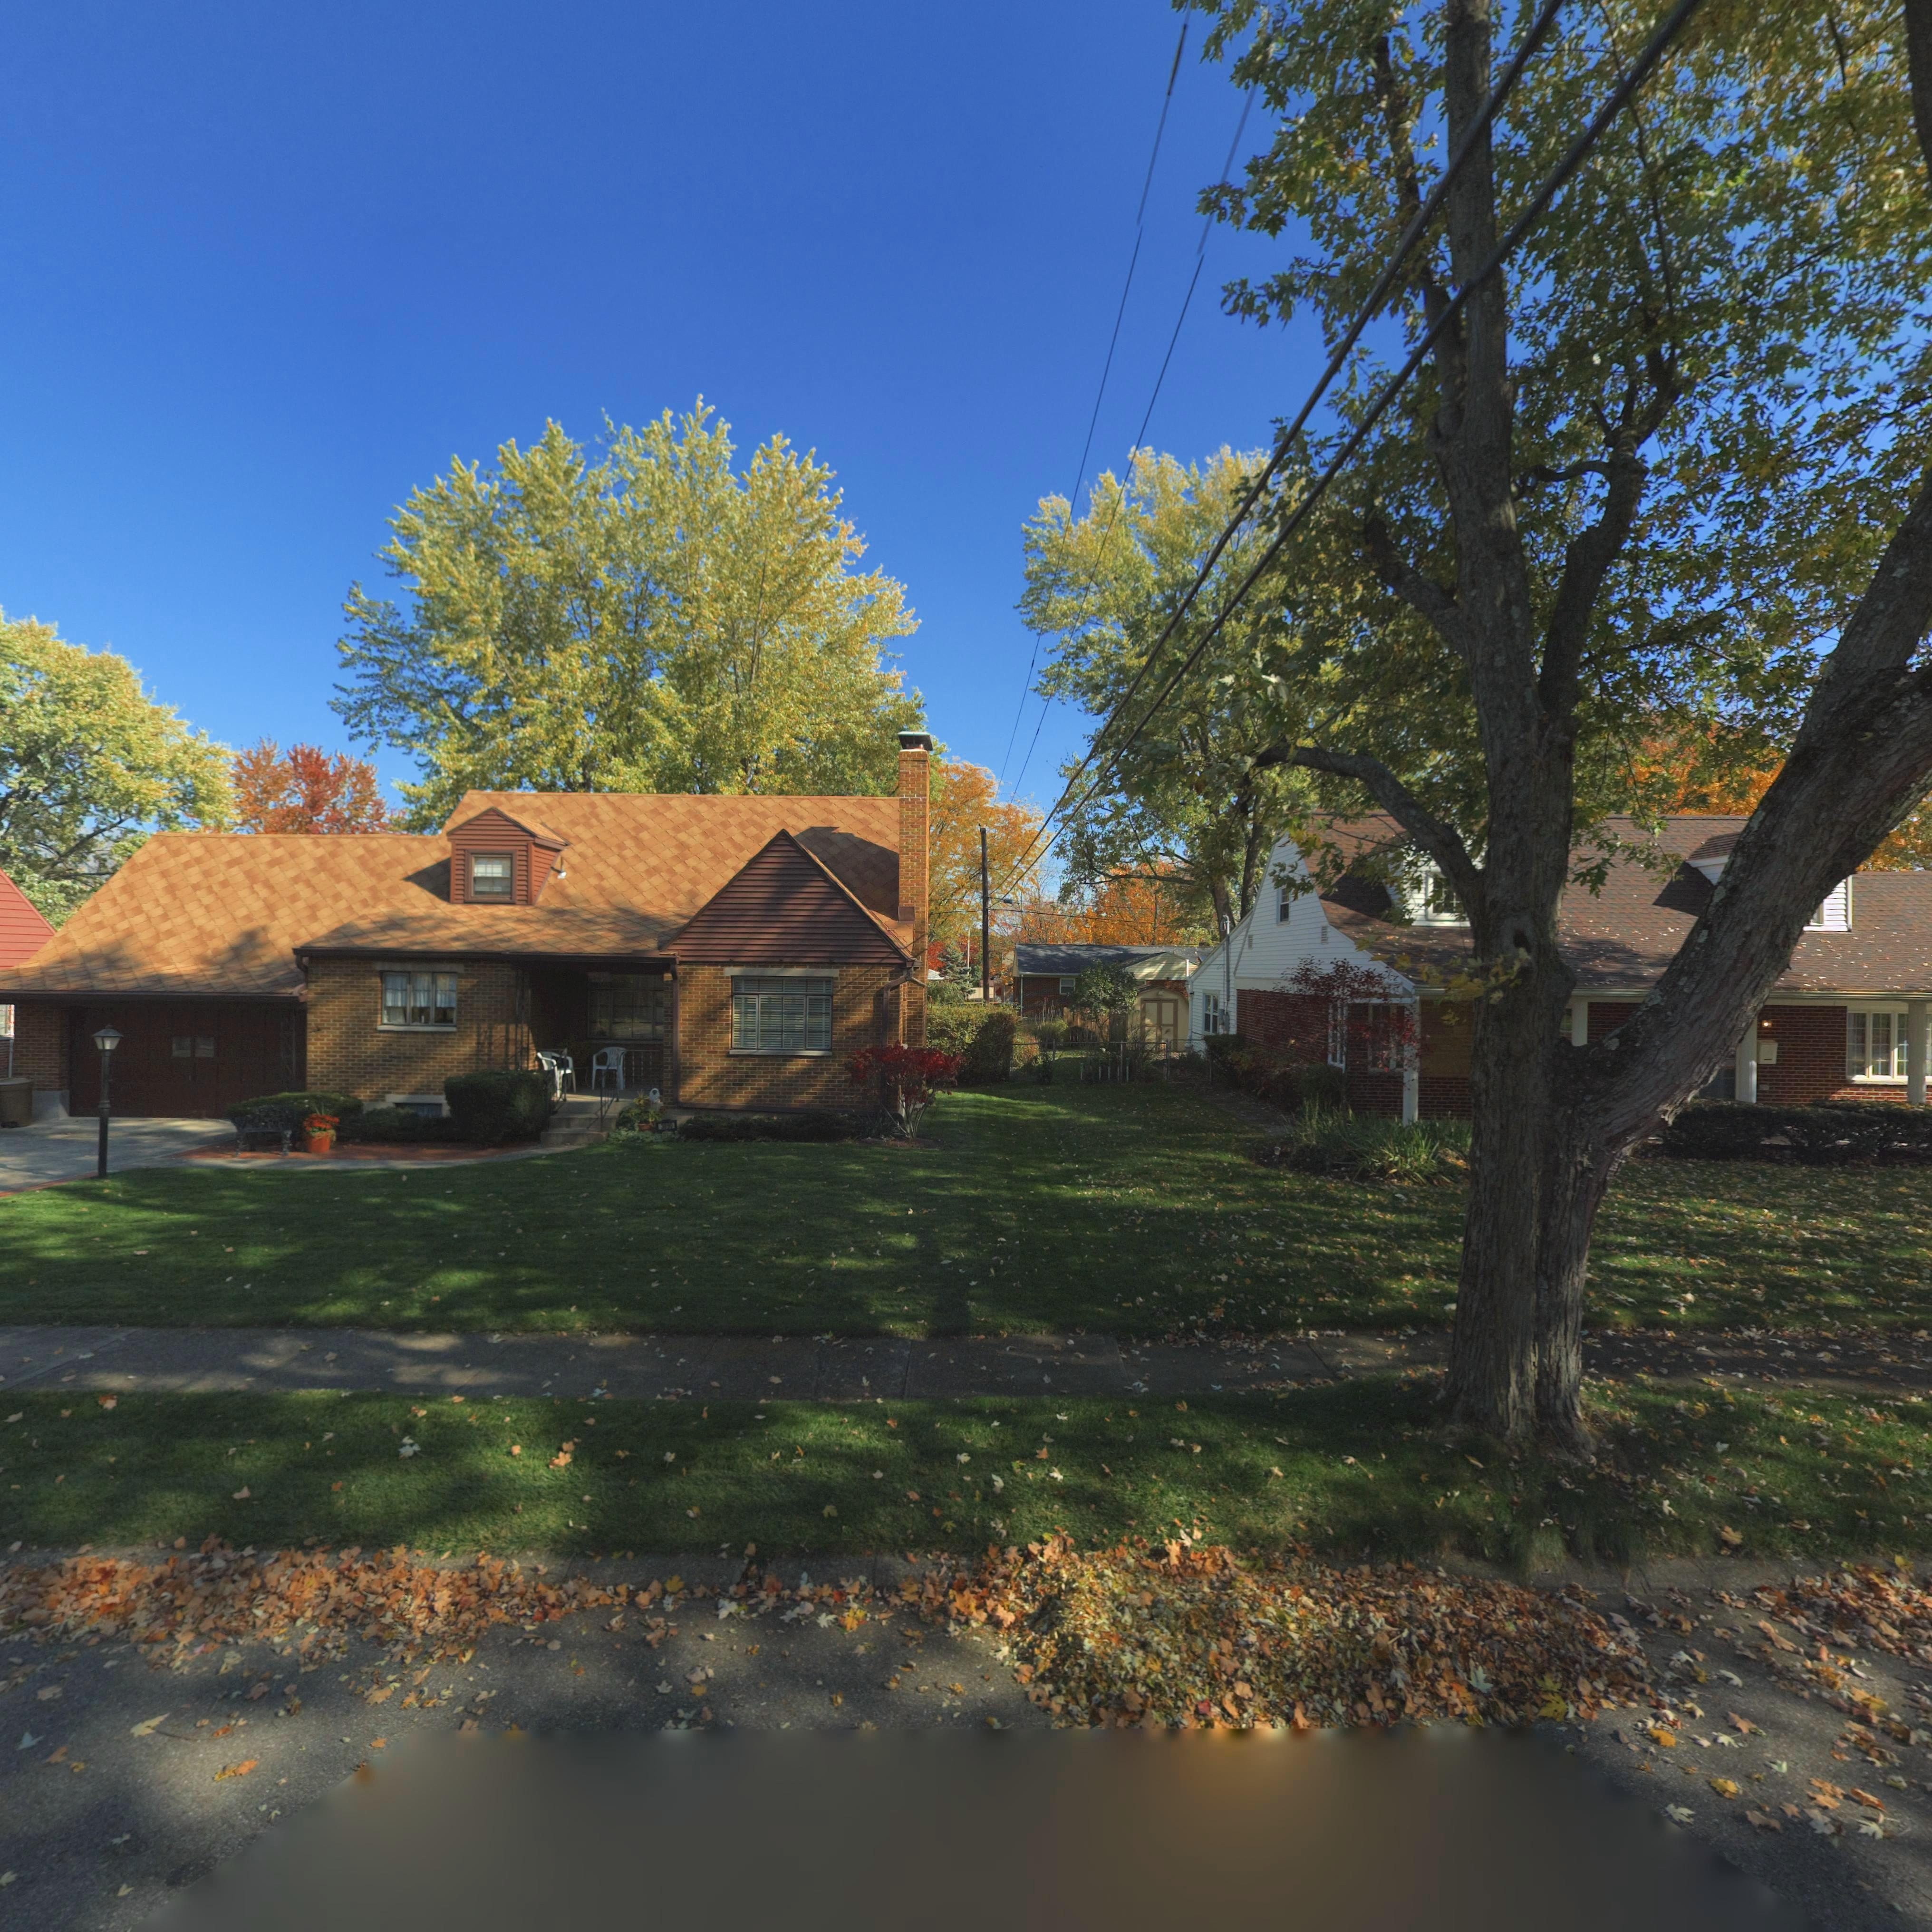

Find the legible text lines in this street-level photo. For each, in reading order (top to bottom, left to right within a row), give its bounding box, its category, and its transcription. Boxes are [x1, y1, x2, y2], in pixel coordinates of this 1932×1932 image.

[660, 1122, 674, 1130] StreetNumber: ***0